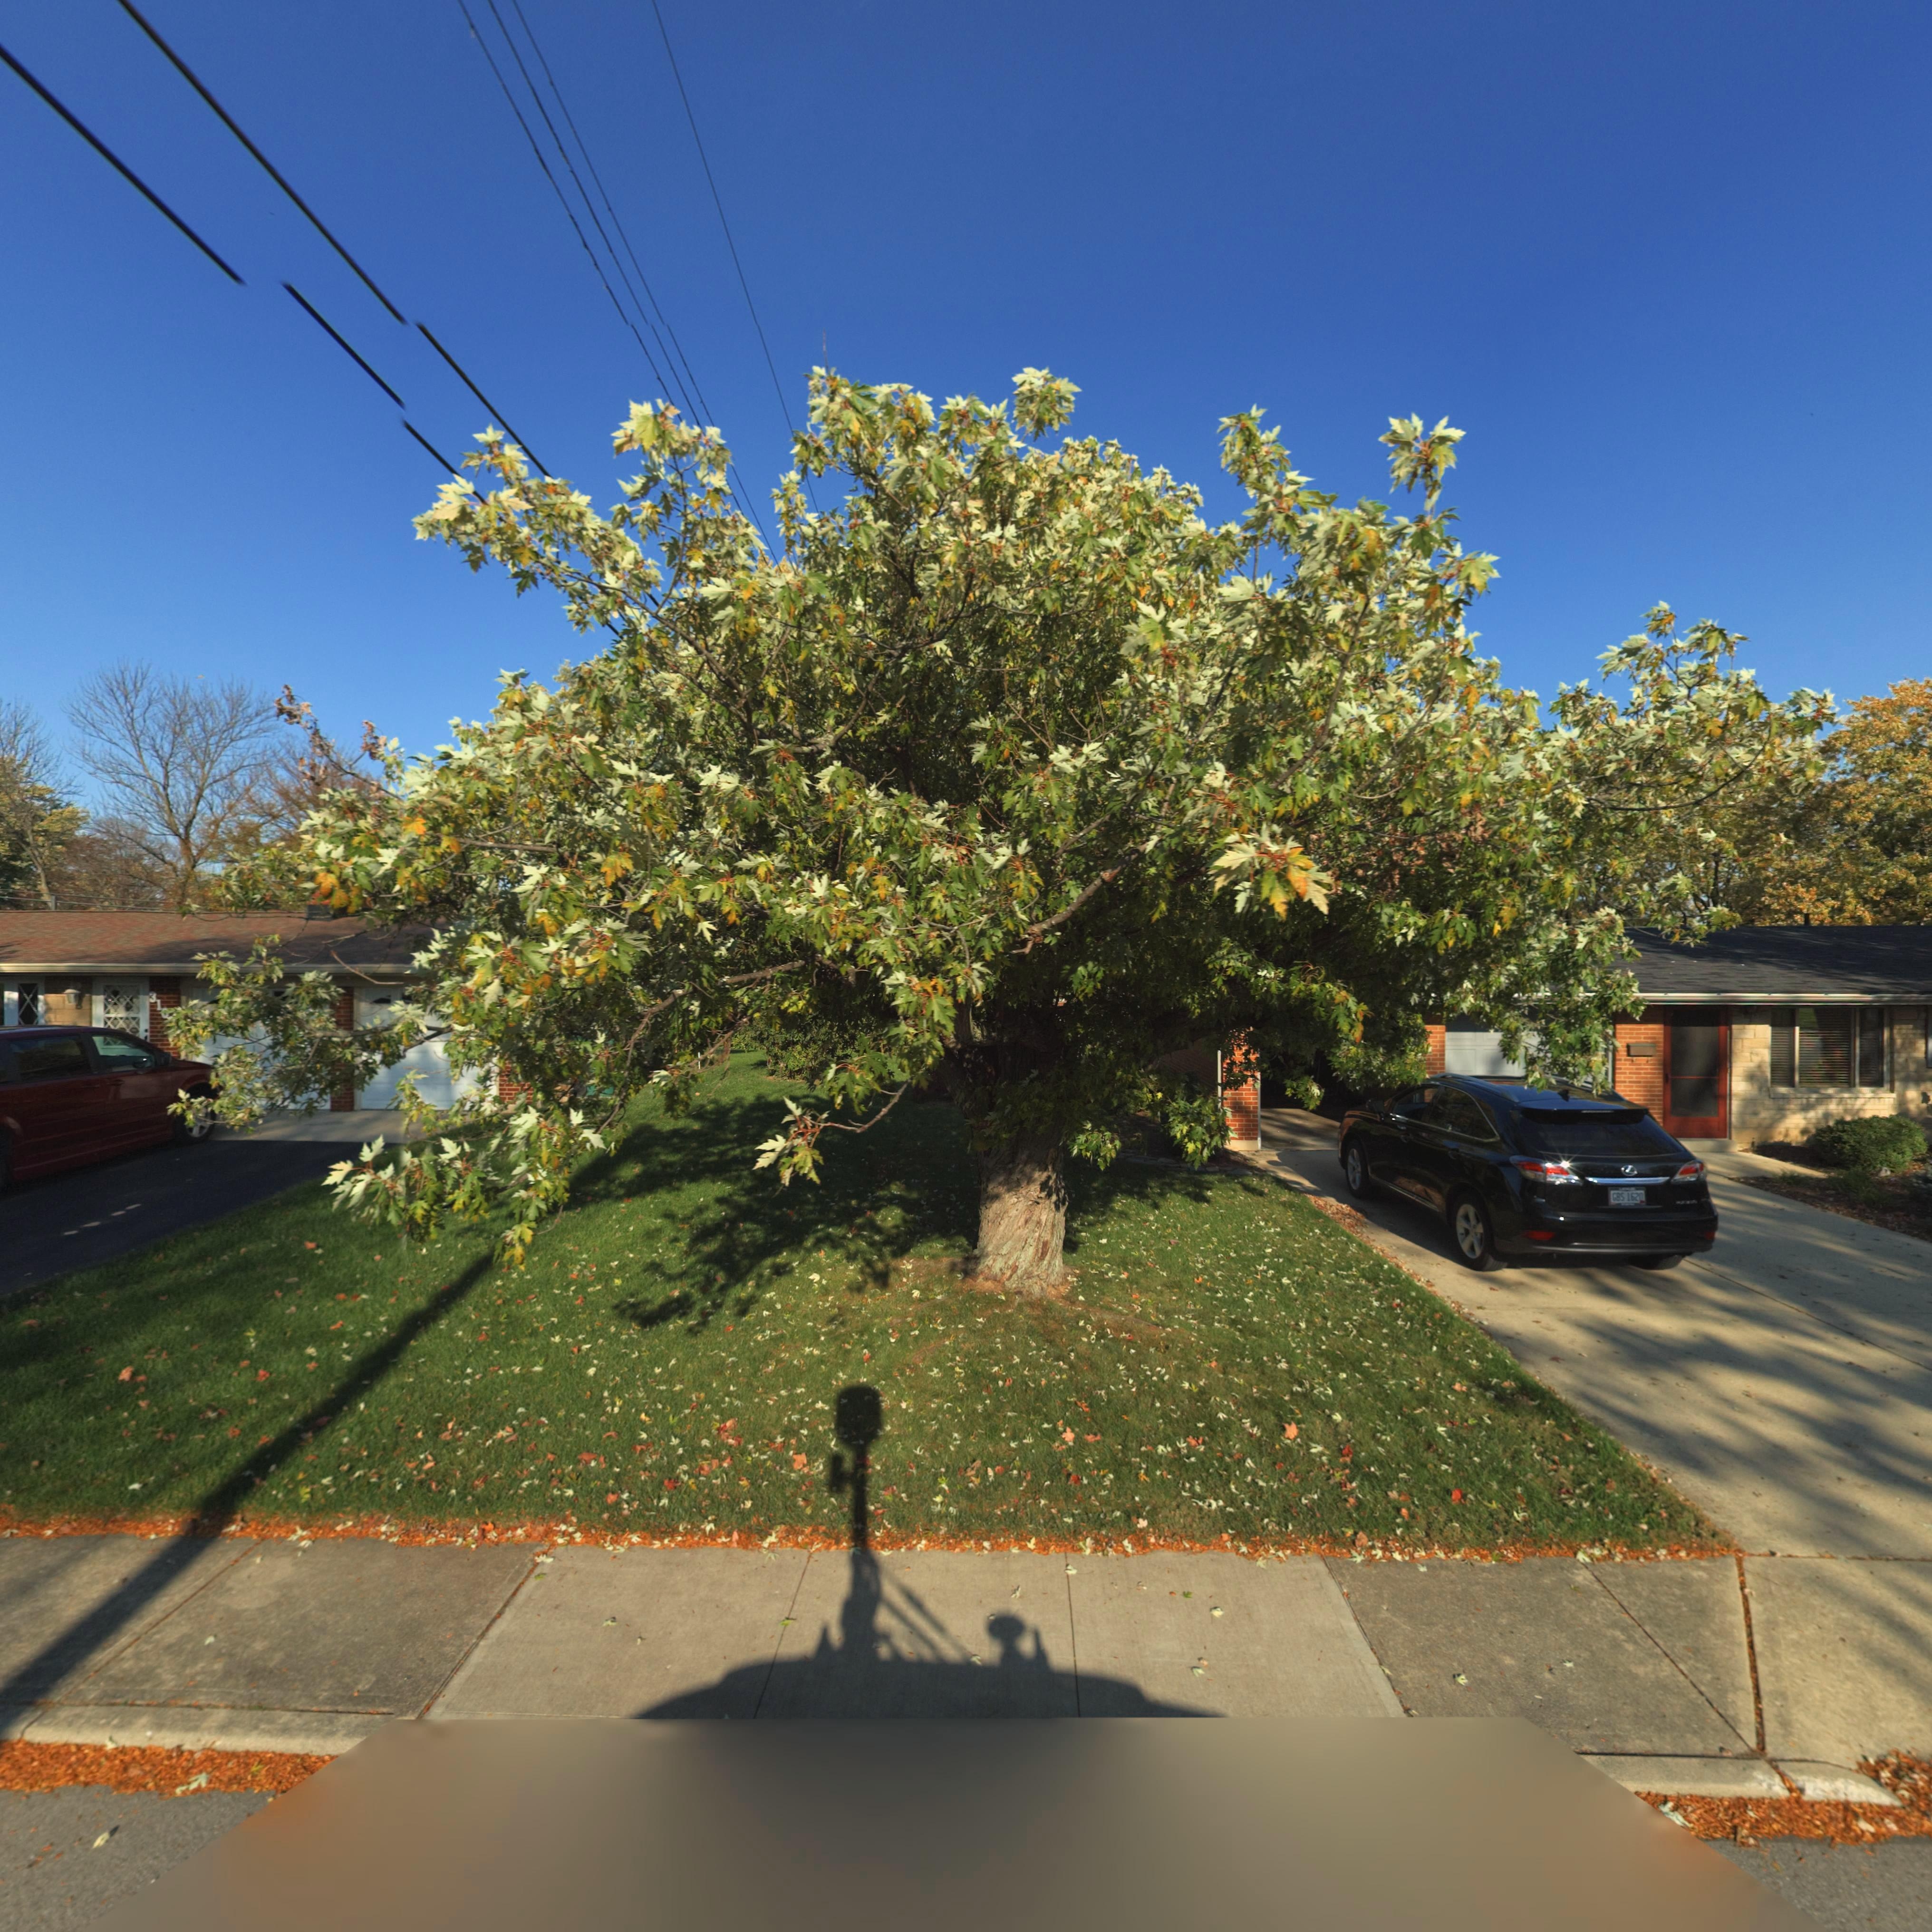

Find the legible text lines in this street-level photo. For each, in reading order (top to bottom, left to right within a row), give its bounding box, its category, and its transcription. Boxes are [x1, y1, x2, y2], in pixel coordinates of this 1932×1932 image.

[149, 990, 162, 1011] StreetNumber: 31